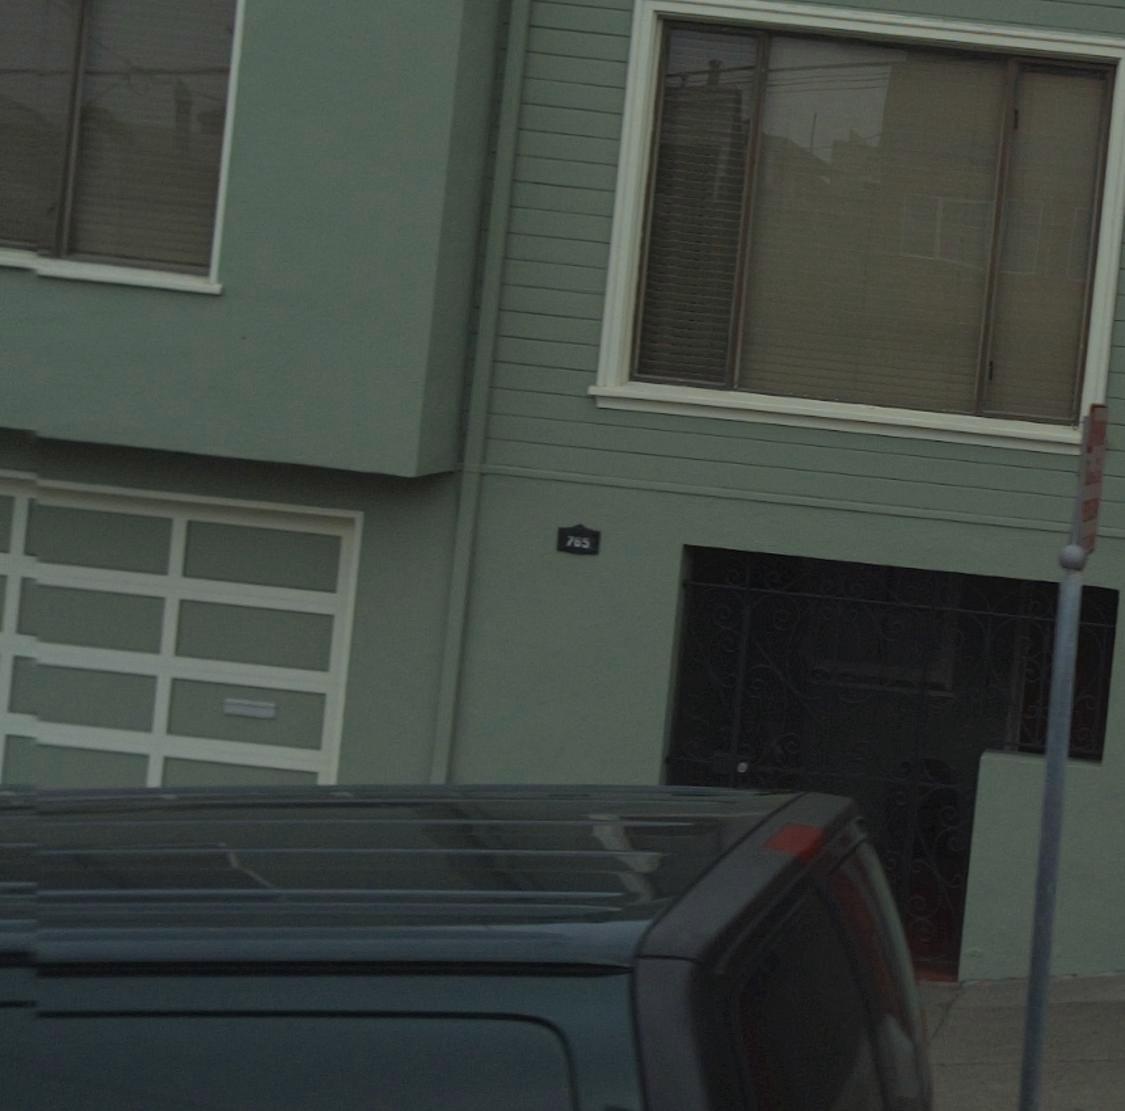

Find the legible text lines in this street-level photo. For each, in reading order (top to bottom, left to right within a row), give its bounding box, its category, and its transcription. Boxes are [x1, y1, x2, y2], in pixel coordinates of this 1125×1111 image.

[564, 535, 592, 549] StreetNumber: 765